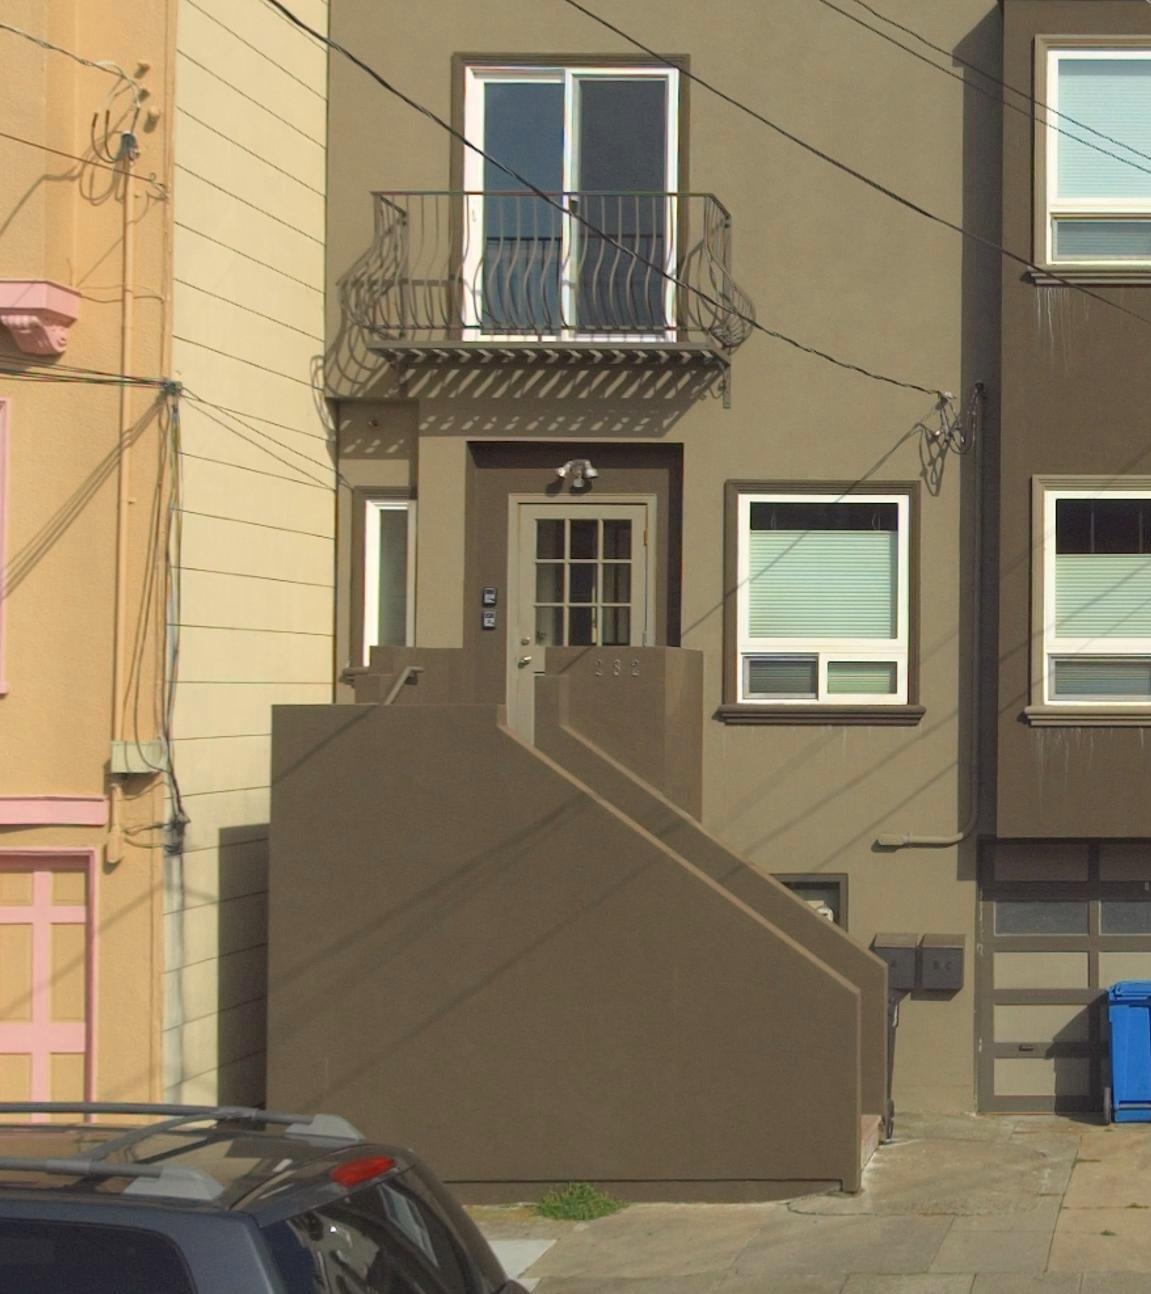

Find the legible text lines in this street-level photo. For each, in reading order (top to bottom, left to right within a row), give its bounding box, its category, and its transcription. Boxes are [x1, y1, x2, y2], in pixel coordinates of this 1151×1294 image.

[592, 658, 641, 678] StreetNumber: 282